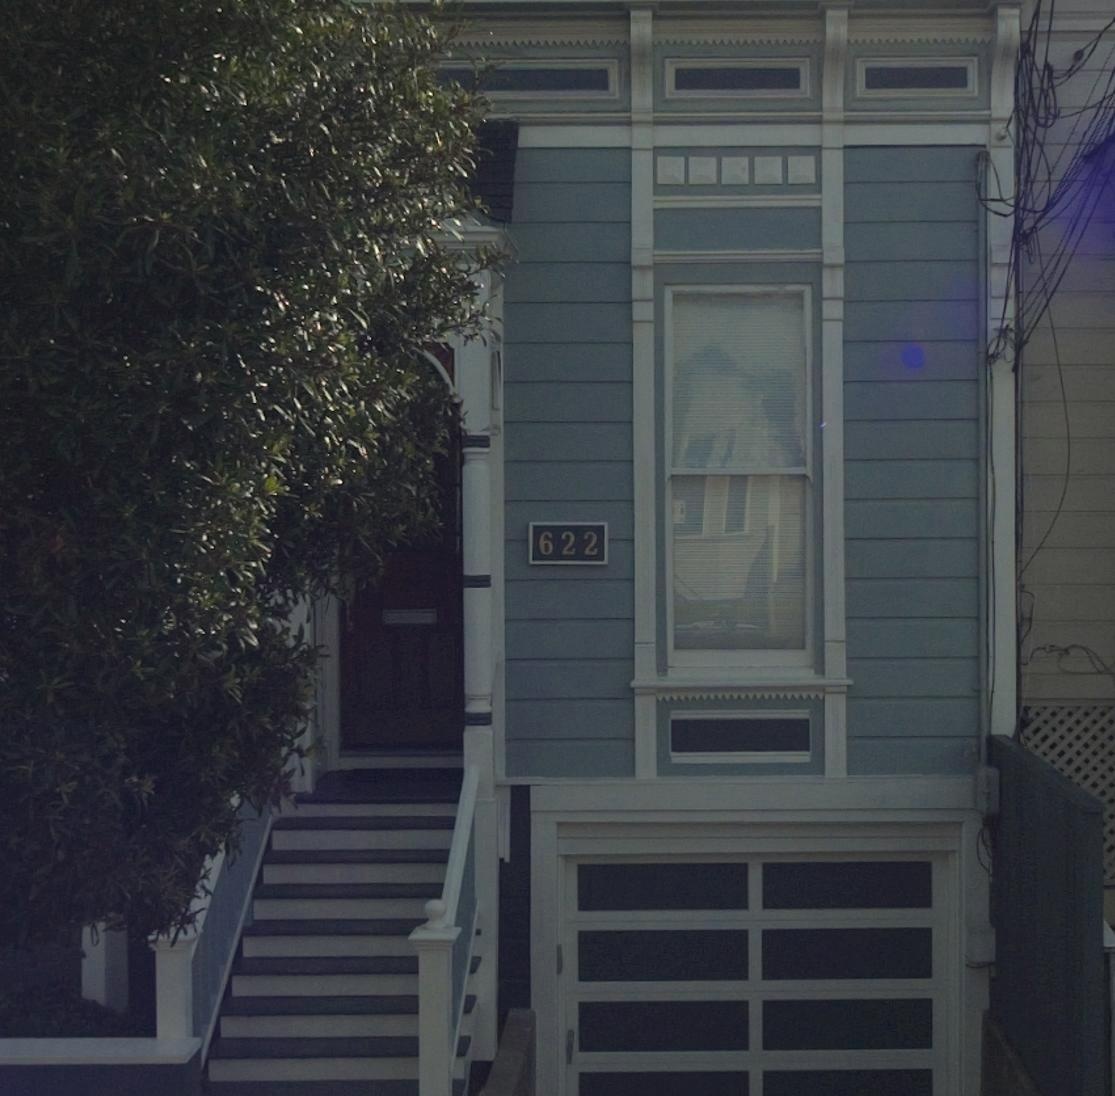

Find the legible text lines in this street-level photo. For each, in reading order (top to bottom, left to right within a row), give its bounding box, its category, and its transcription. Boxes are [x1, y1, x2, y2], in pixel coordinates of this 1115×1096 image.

[535, 528, 601, 558] StreetNumber: 622